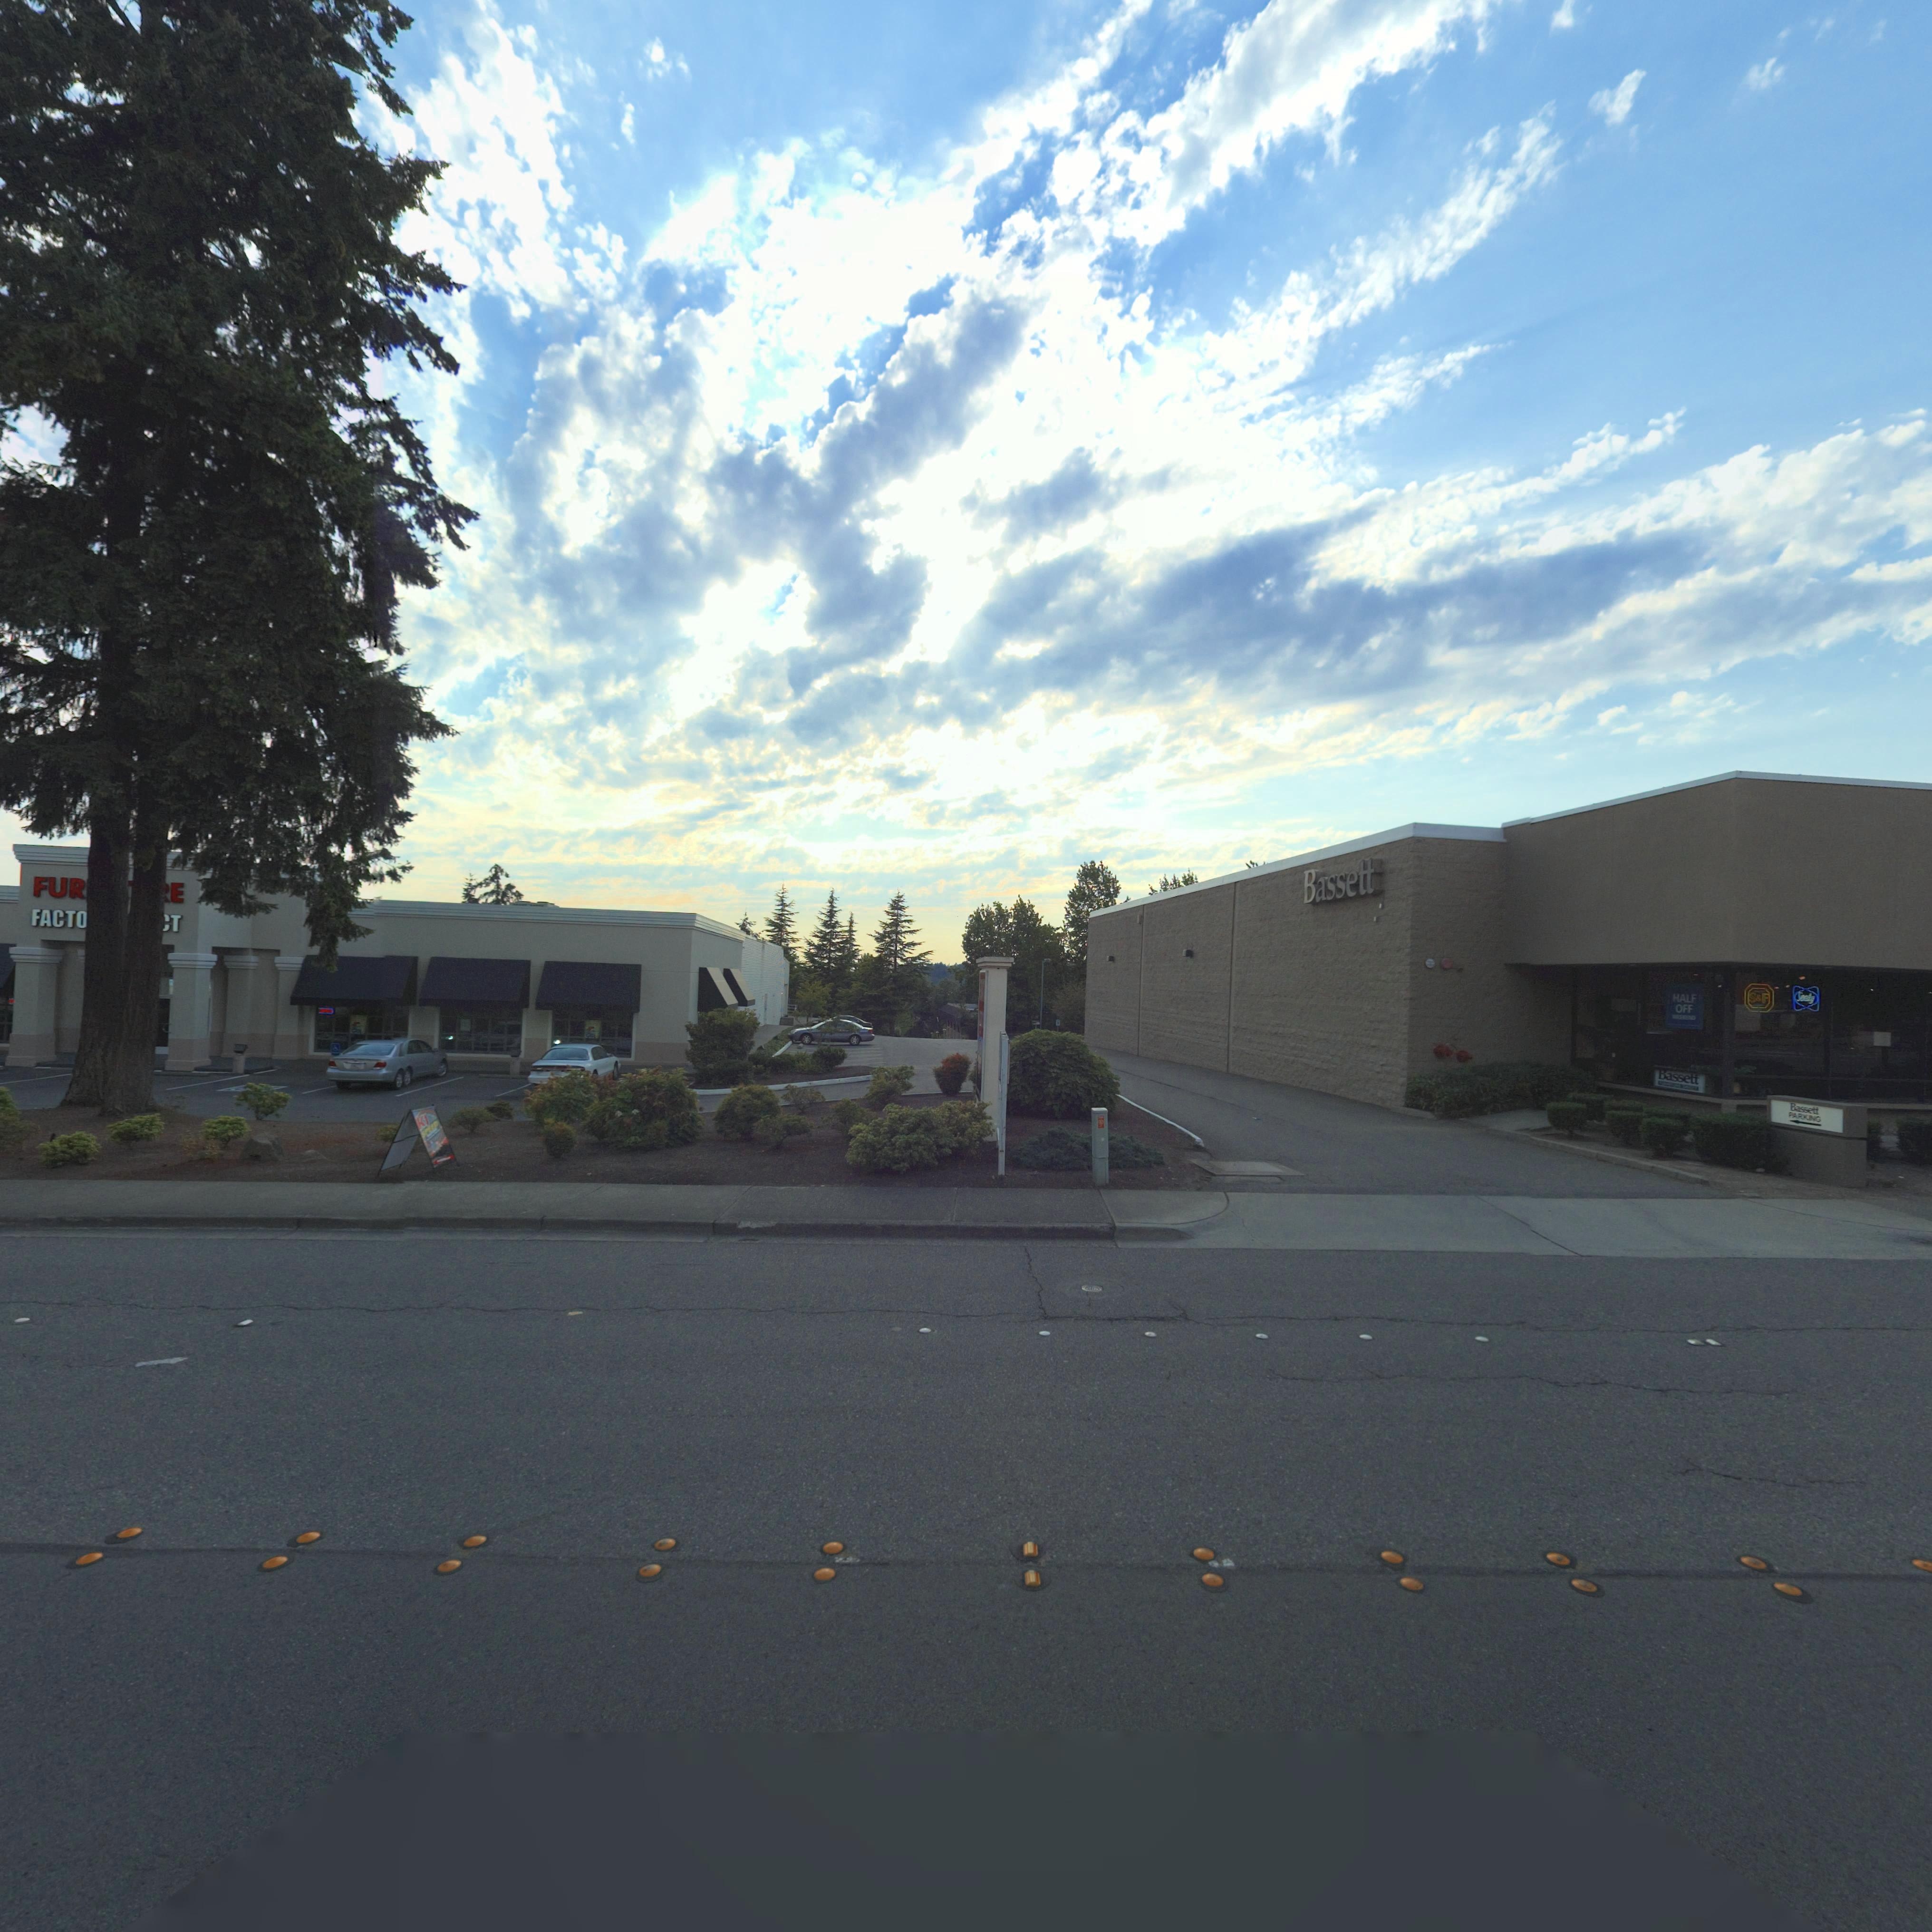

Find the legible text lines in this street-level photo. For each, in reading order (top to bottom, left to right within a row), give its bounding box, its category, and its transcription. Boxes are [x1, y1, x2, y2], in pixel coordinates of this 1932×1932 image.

[30, 874, 187, 903] BusinessName: FUR*****E
[1301, 857, 1382, 907] BusinessName: Bassett
[31, 908, 86, 927] BusinessName: FACTO
[163, 912, 184, 933] BusinessName: *T
[1657, 1065, 1701, 1086] BusinessName: Bassett
[414, 1112, 430, 1131] BusinessName: K*1
[420, 1120, 439, 1140] BusinessName: SPEED